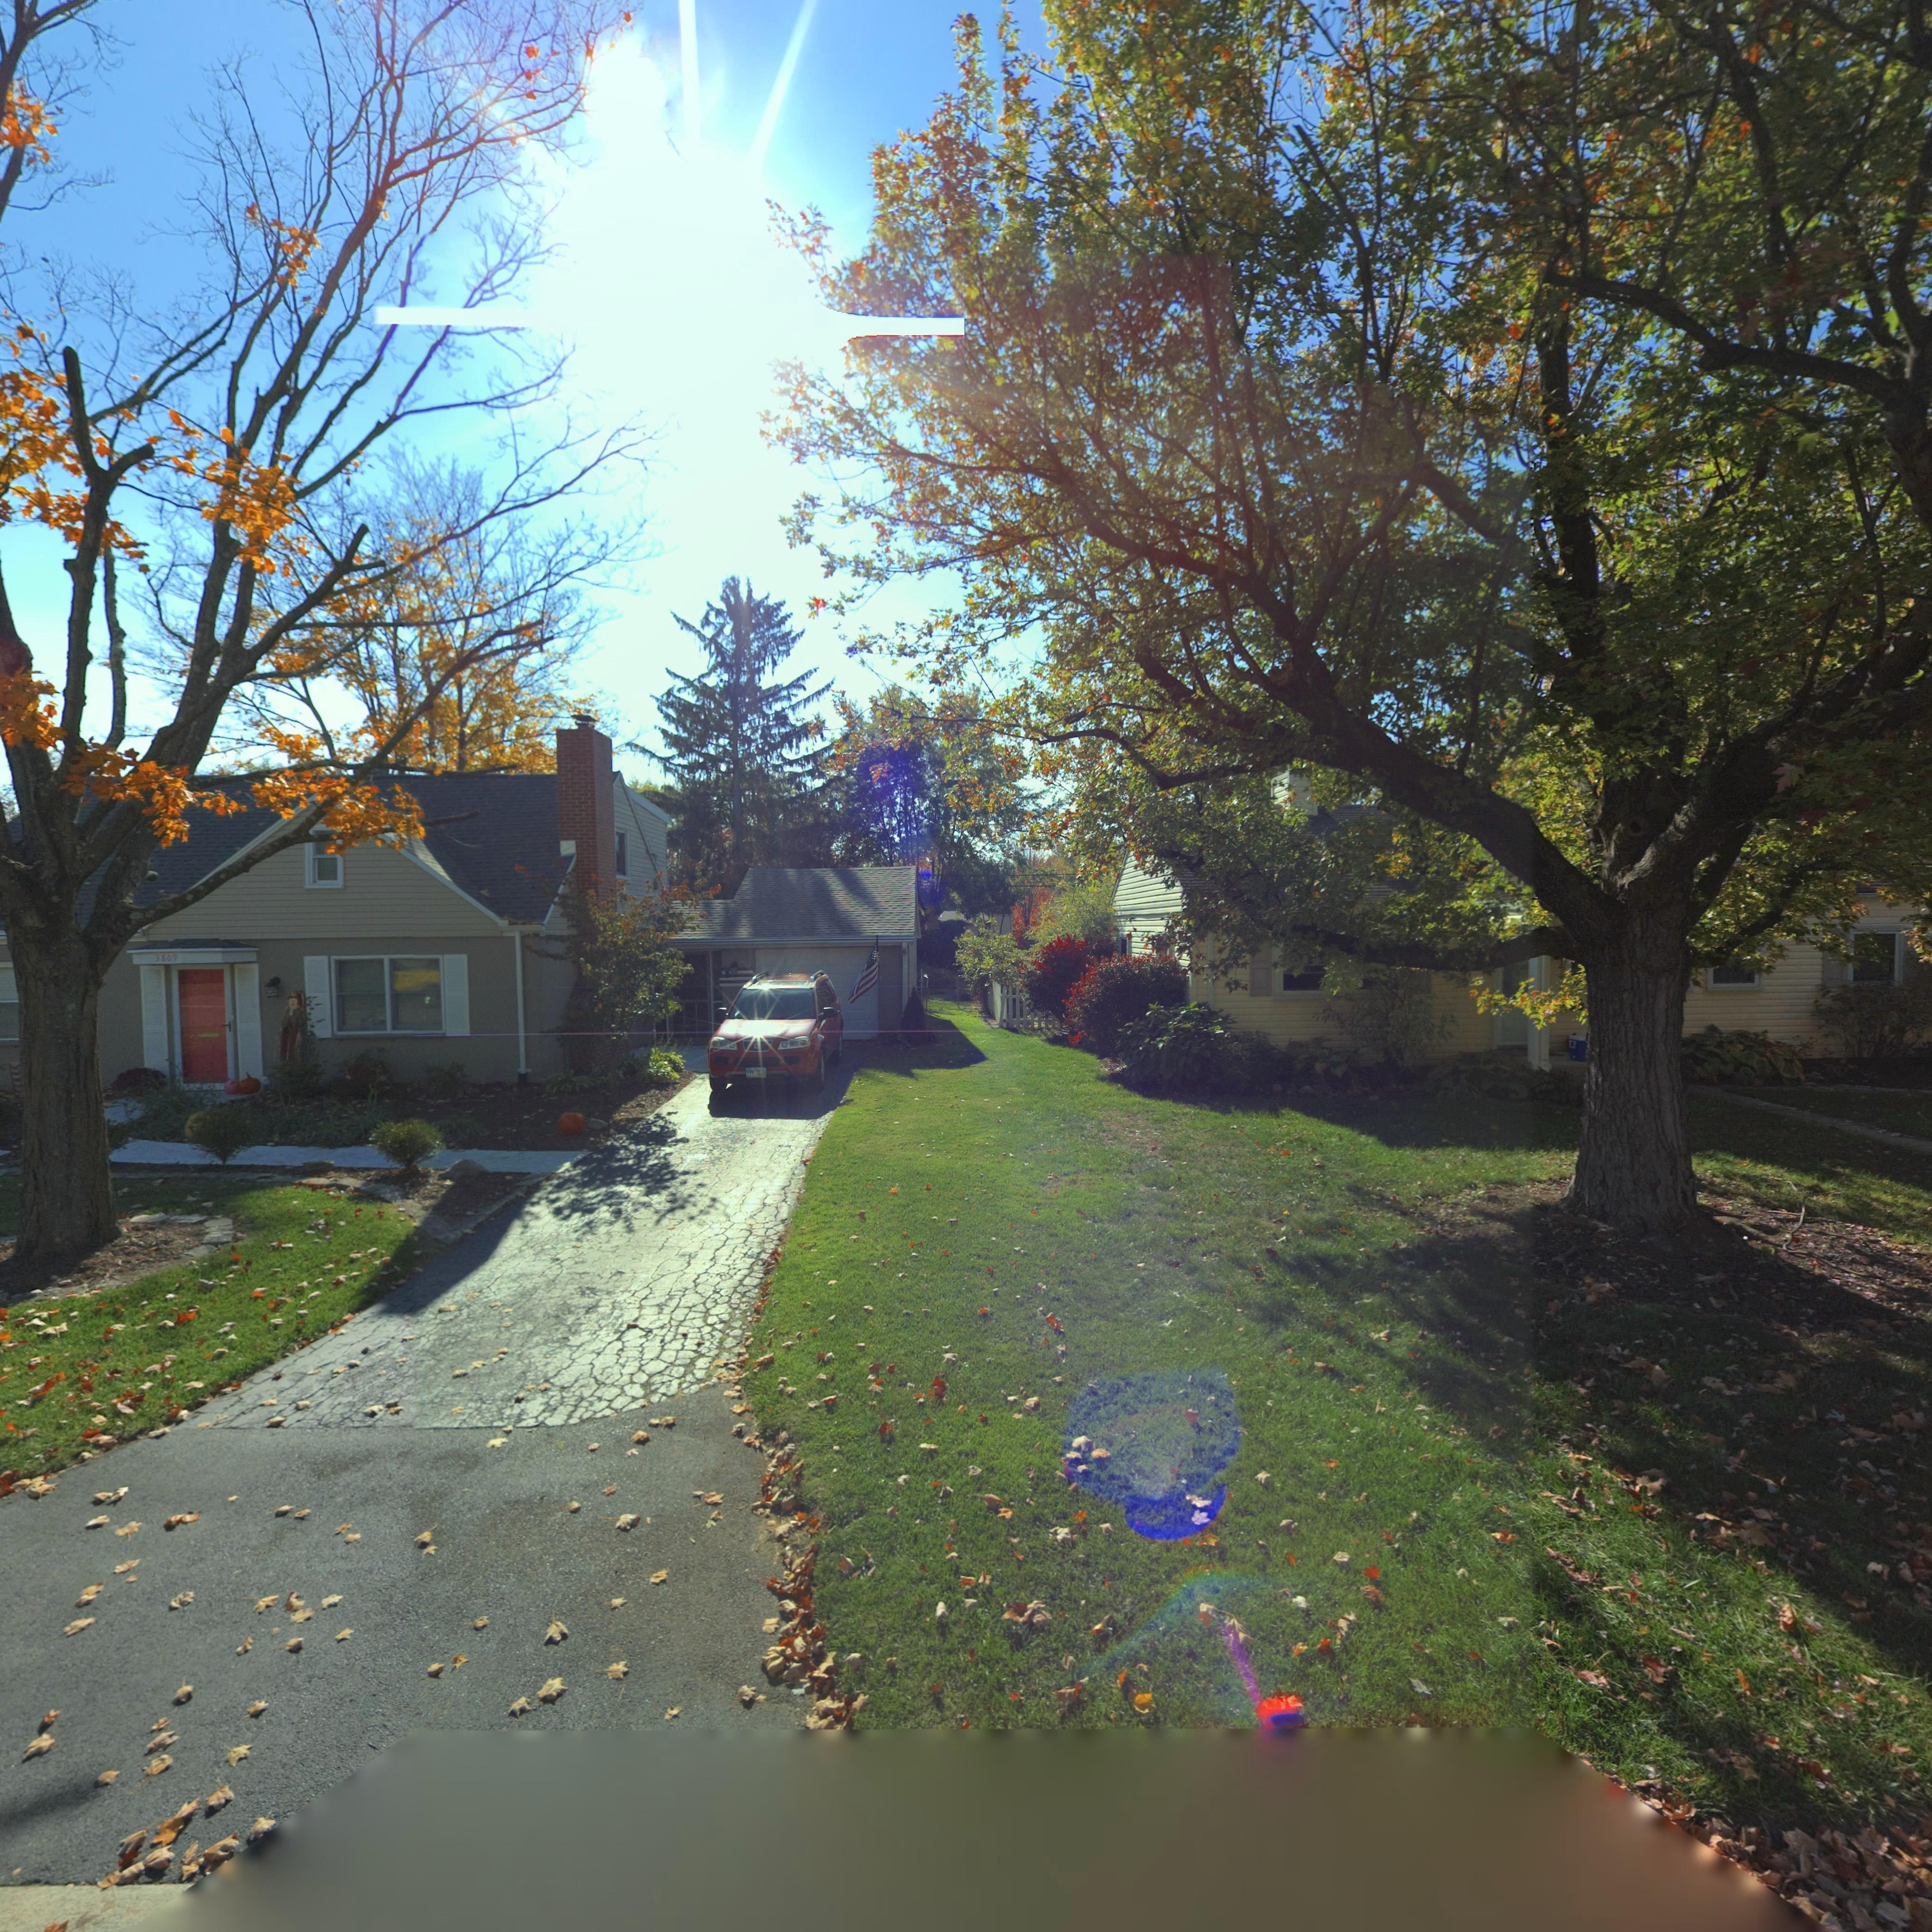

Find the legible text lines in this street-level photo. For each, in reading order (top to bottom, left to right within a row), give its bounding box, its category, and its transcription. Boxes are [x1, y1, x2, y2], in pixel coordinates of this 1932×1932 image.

[155, 953, 178, 962] StreetNumber: 3809